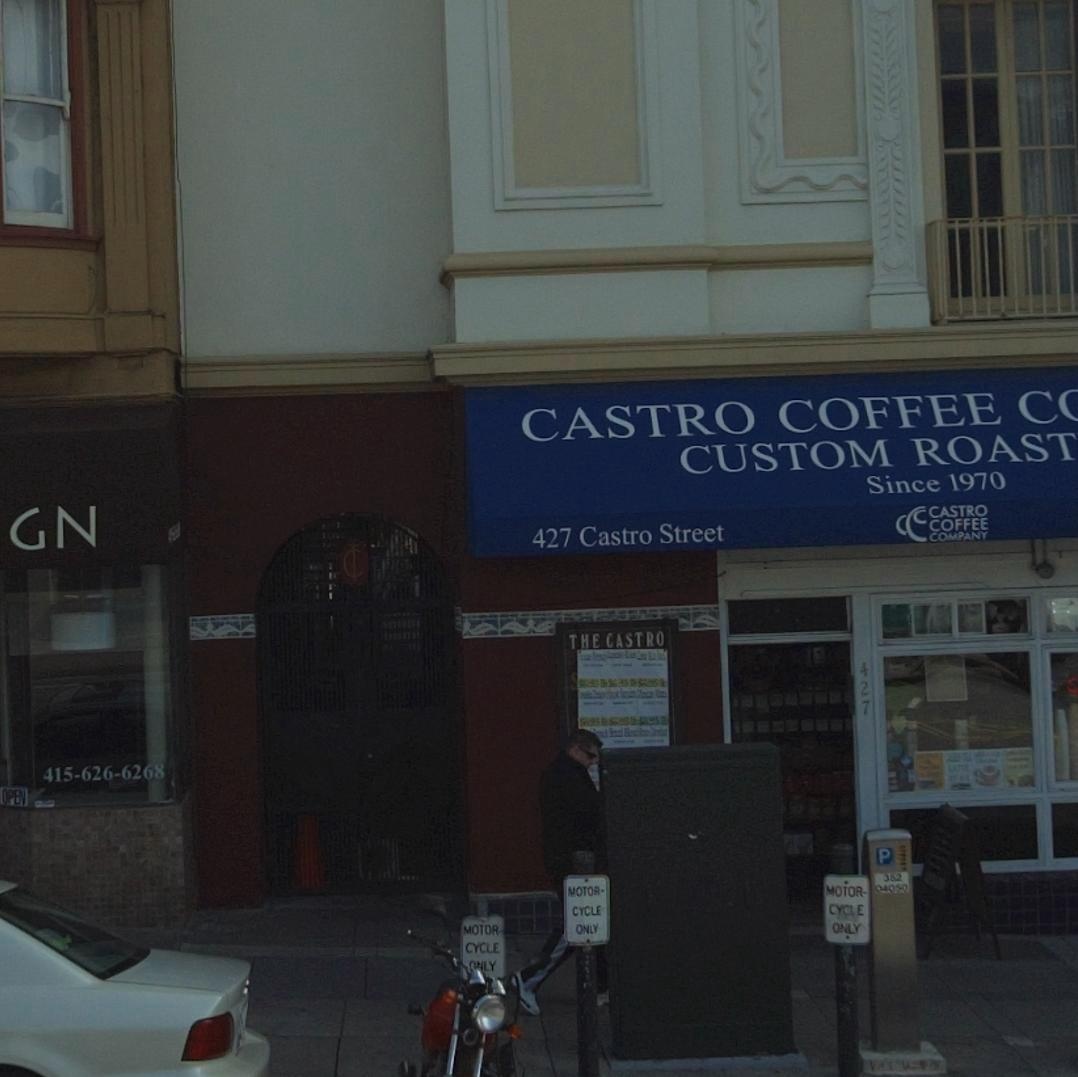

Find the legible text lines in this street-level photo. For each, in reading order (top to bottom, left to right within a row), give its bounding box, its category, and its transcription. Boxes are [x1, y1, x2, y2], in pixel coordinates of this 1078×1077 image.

[516, 385, 1078, 446] BusinessName: CASTRO COFFEE C*
[675, 430, 1078, 479] None: CUSTOM ROAST
[865, 468, 1012, 498] None: Since 1970
[927, 502, 990, 519] BusinessName: CASTRO
[1, 502, 100, 553] BusinessName: GN
[530, 524, 573, 551] StreetNumber: 427
[577, 521, 727, 549] StreetName: Castro Street
[927, 517, 991, 532] BusinessName: COFFEE
[927, 531, 991, 542] BusinessName: COMPANY
[568, 629, 665, 651] BusinessName: THE CASTRO
[857, 658, 873, 716] StreetNumber: 427
[40, 761, 166, 784] None: 415-626-6268
[876, 847, 893, 865] None: P
[882, 872, 905, 883] None: 3*2
[565, 884, 606, 899] None: MOTOR-
[824, 883, 869, 899] None: MOTOR-
[874, 882, 909, 895] None: 04050
[571, 904, 603, 918] None: CYCLE
[828, 901, 866, 918] None: CYCLE
[462, 923, 504, 939] None: MOTOR-
[574, 922, 601, 936] None: ONLY
[831, 921, 863, 936] None: ONLY
[464, 941, 501, 956] None: CYCLE
[467, 958, 499, 975] None: **LY